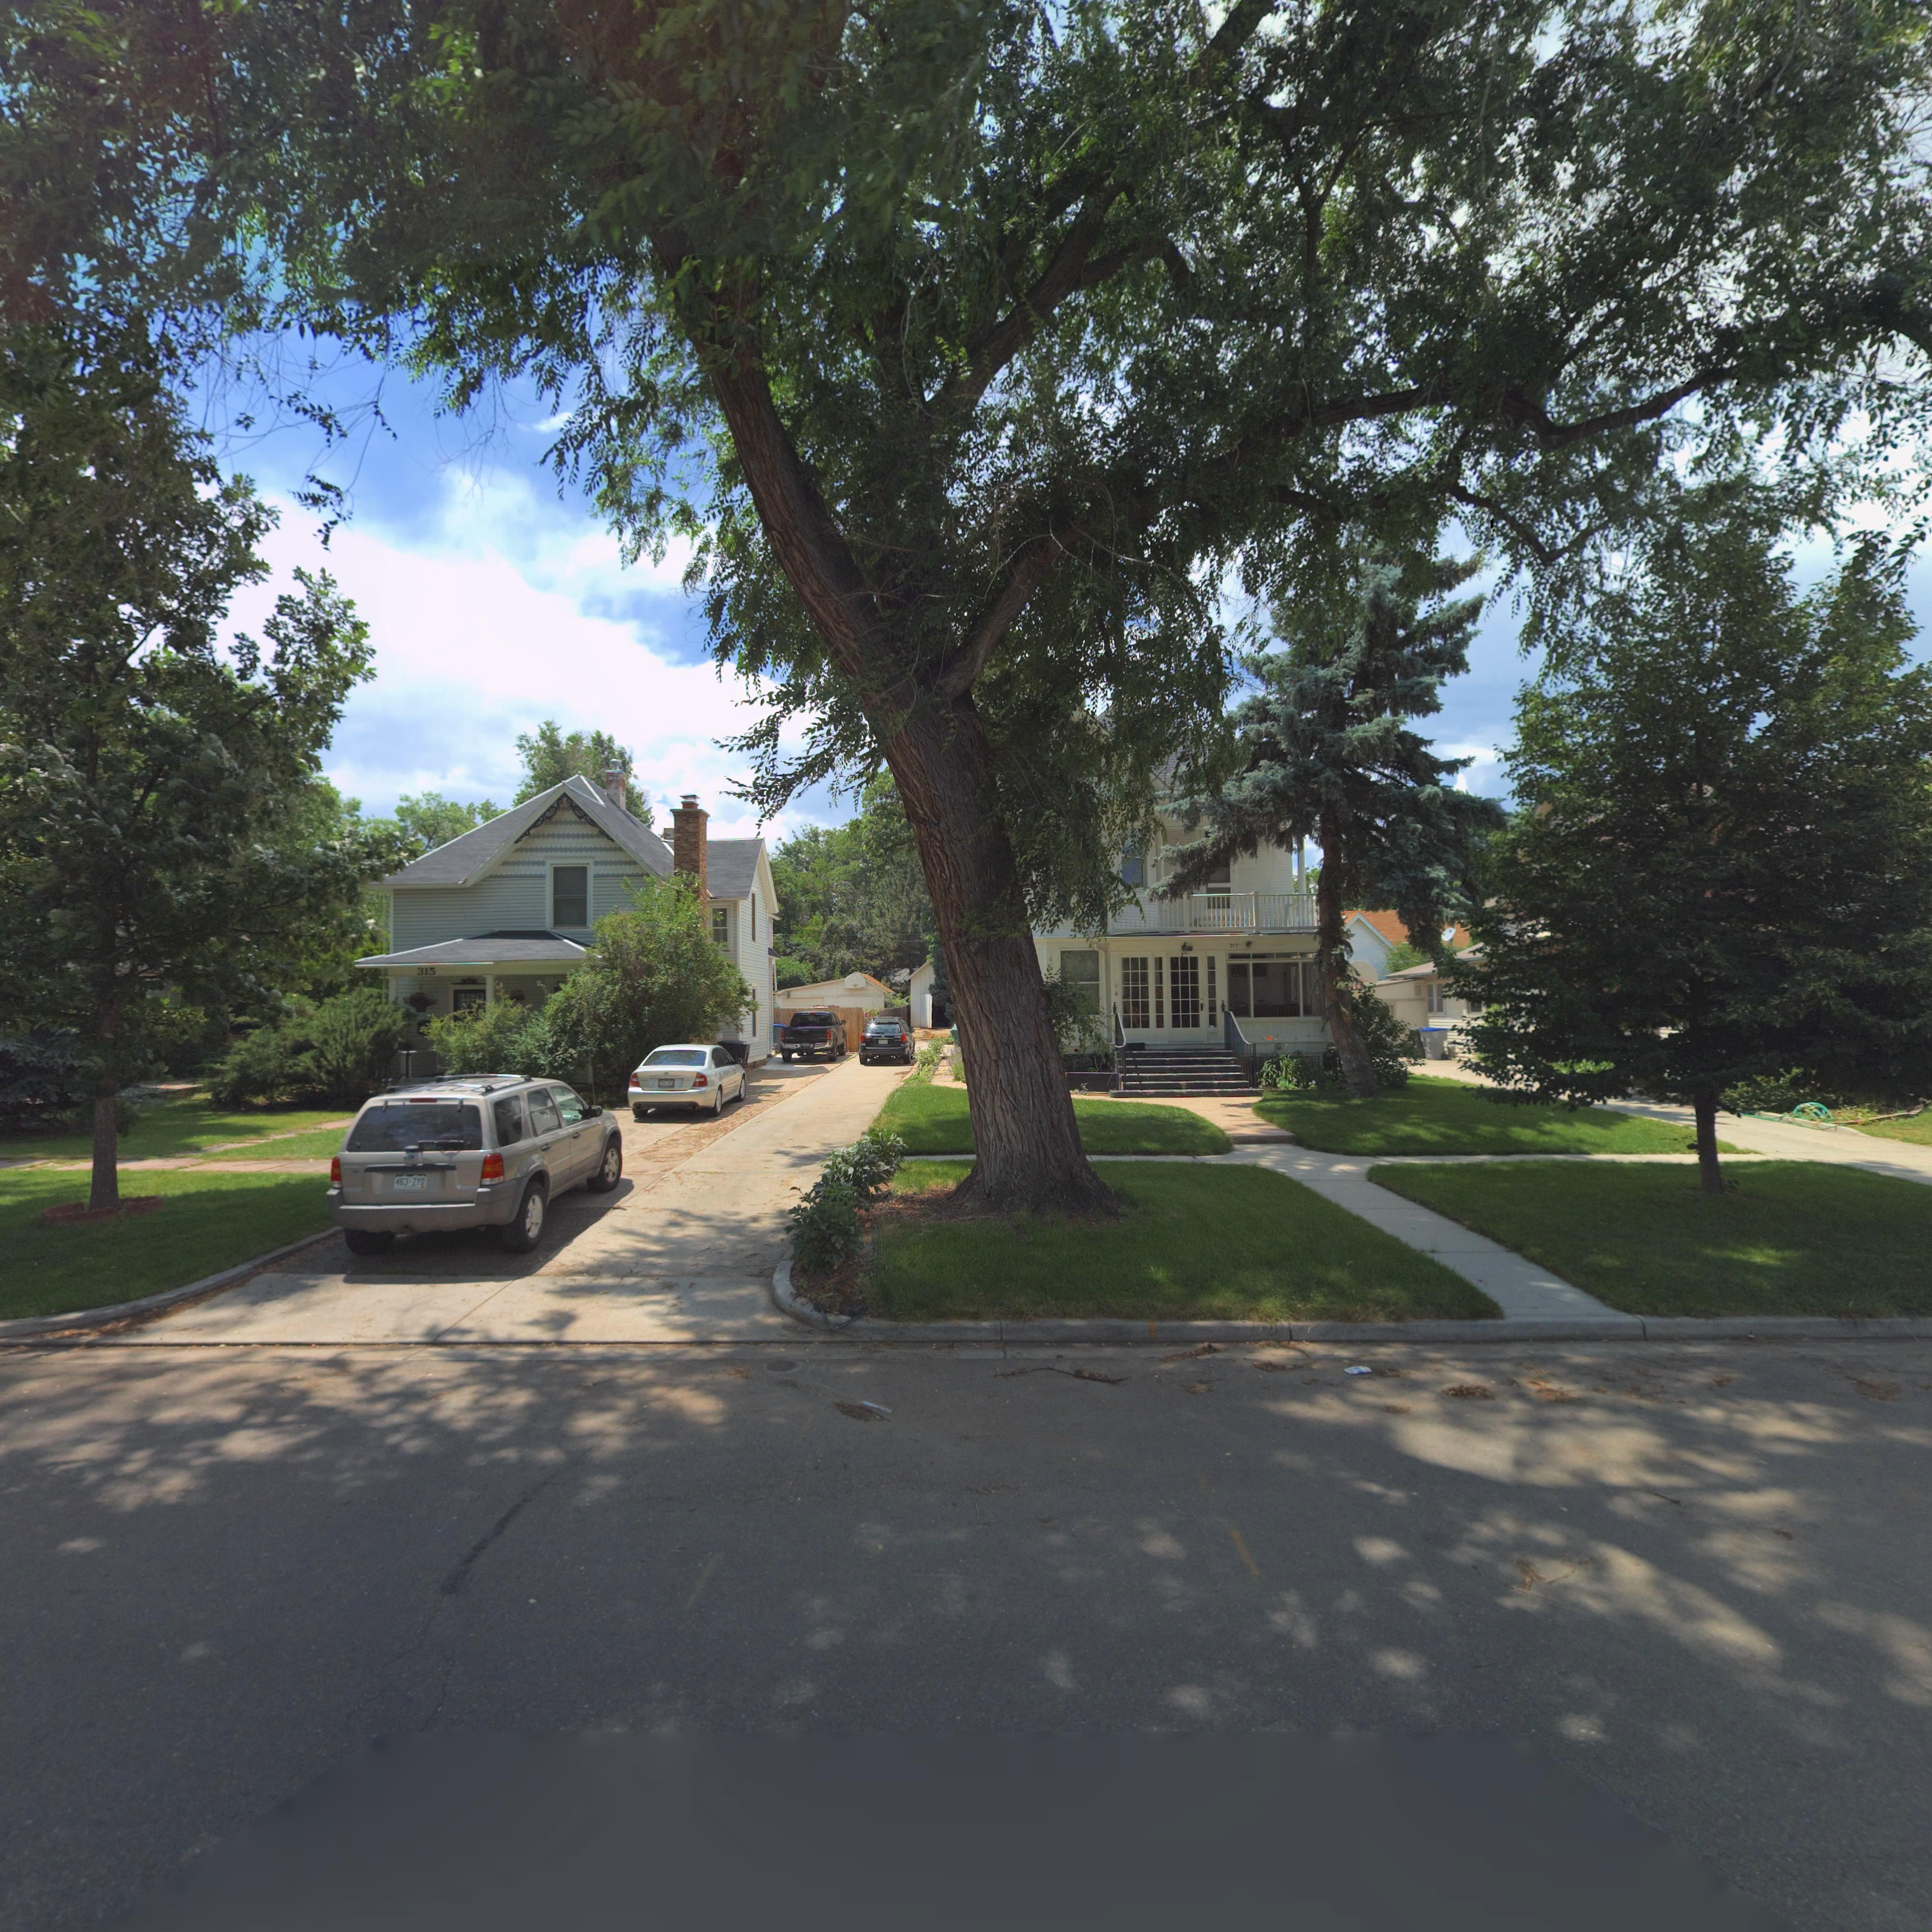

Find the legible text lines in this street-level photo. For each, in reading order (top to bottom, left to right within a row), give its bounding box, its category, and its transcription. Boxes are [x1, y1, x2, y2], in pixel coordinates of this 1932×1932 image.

[1229, 942, 1238, 948] StreetNumber: 317
[417, 967, 436, 976] StreetNumber: 315